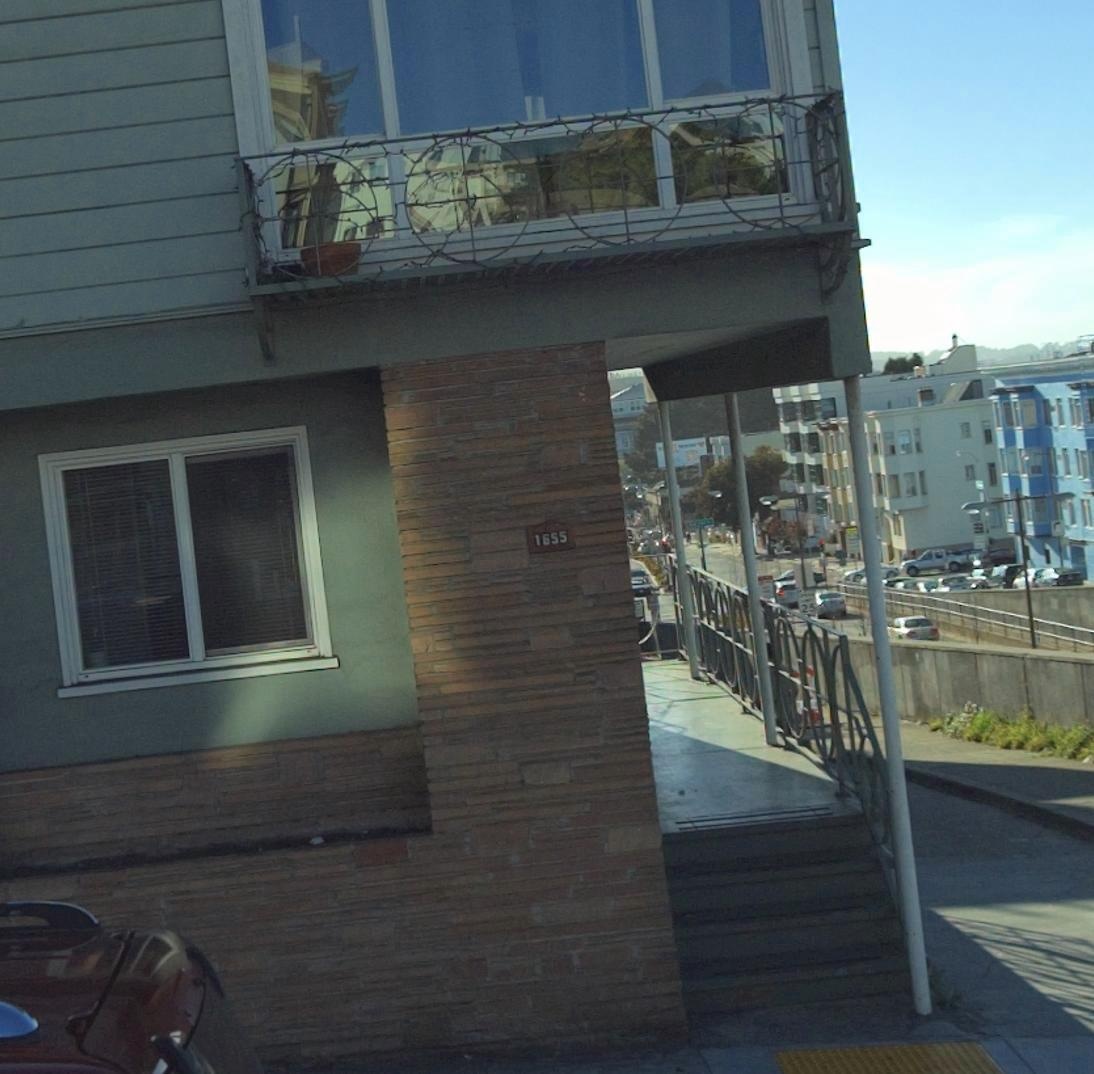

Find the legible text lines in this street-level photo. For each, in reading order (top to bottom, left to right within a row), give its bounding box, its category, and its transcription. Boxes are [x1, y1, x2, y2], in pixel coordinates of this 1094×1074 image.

[533, 530, 569, 548] StreetNumber: 1655
[799, 602, 817, 613] None: 25